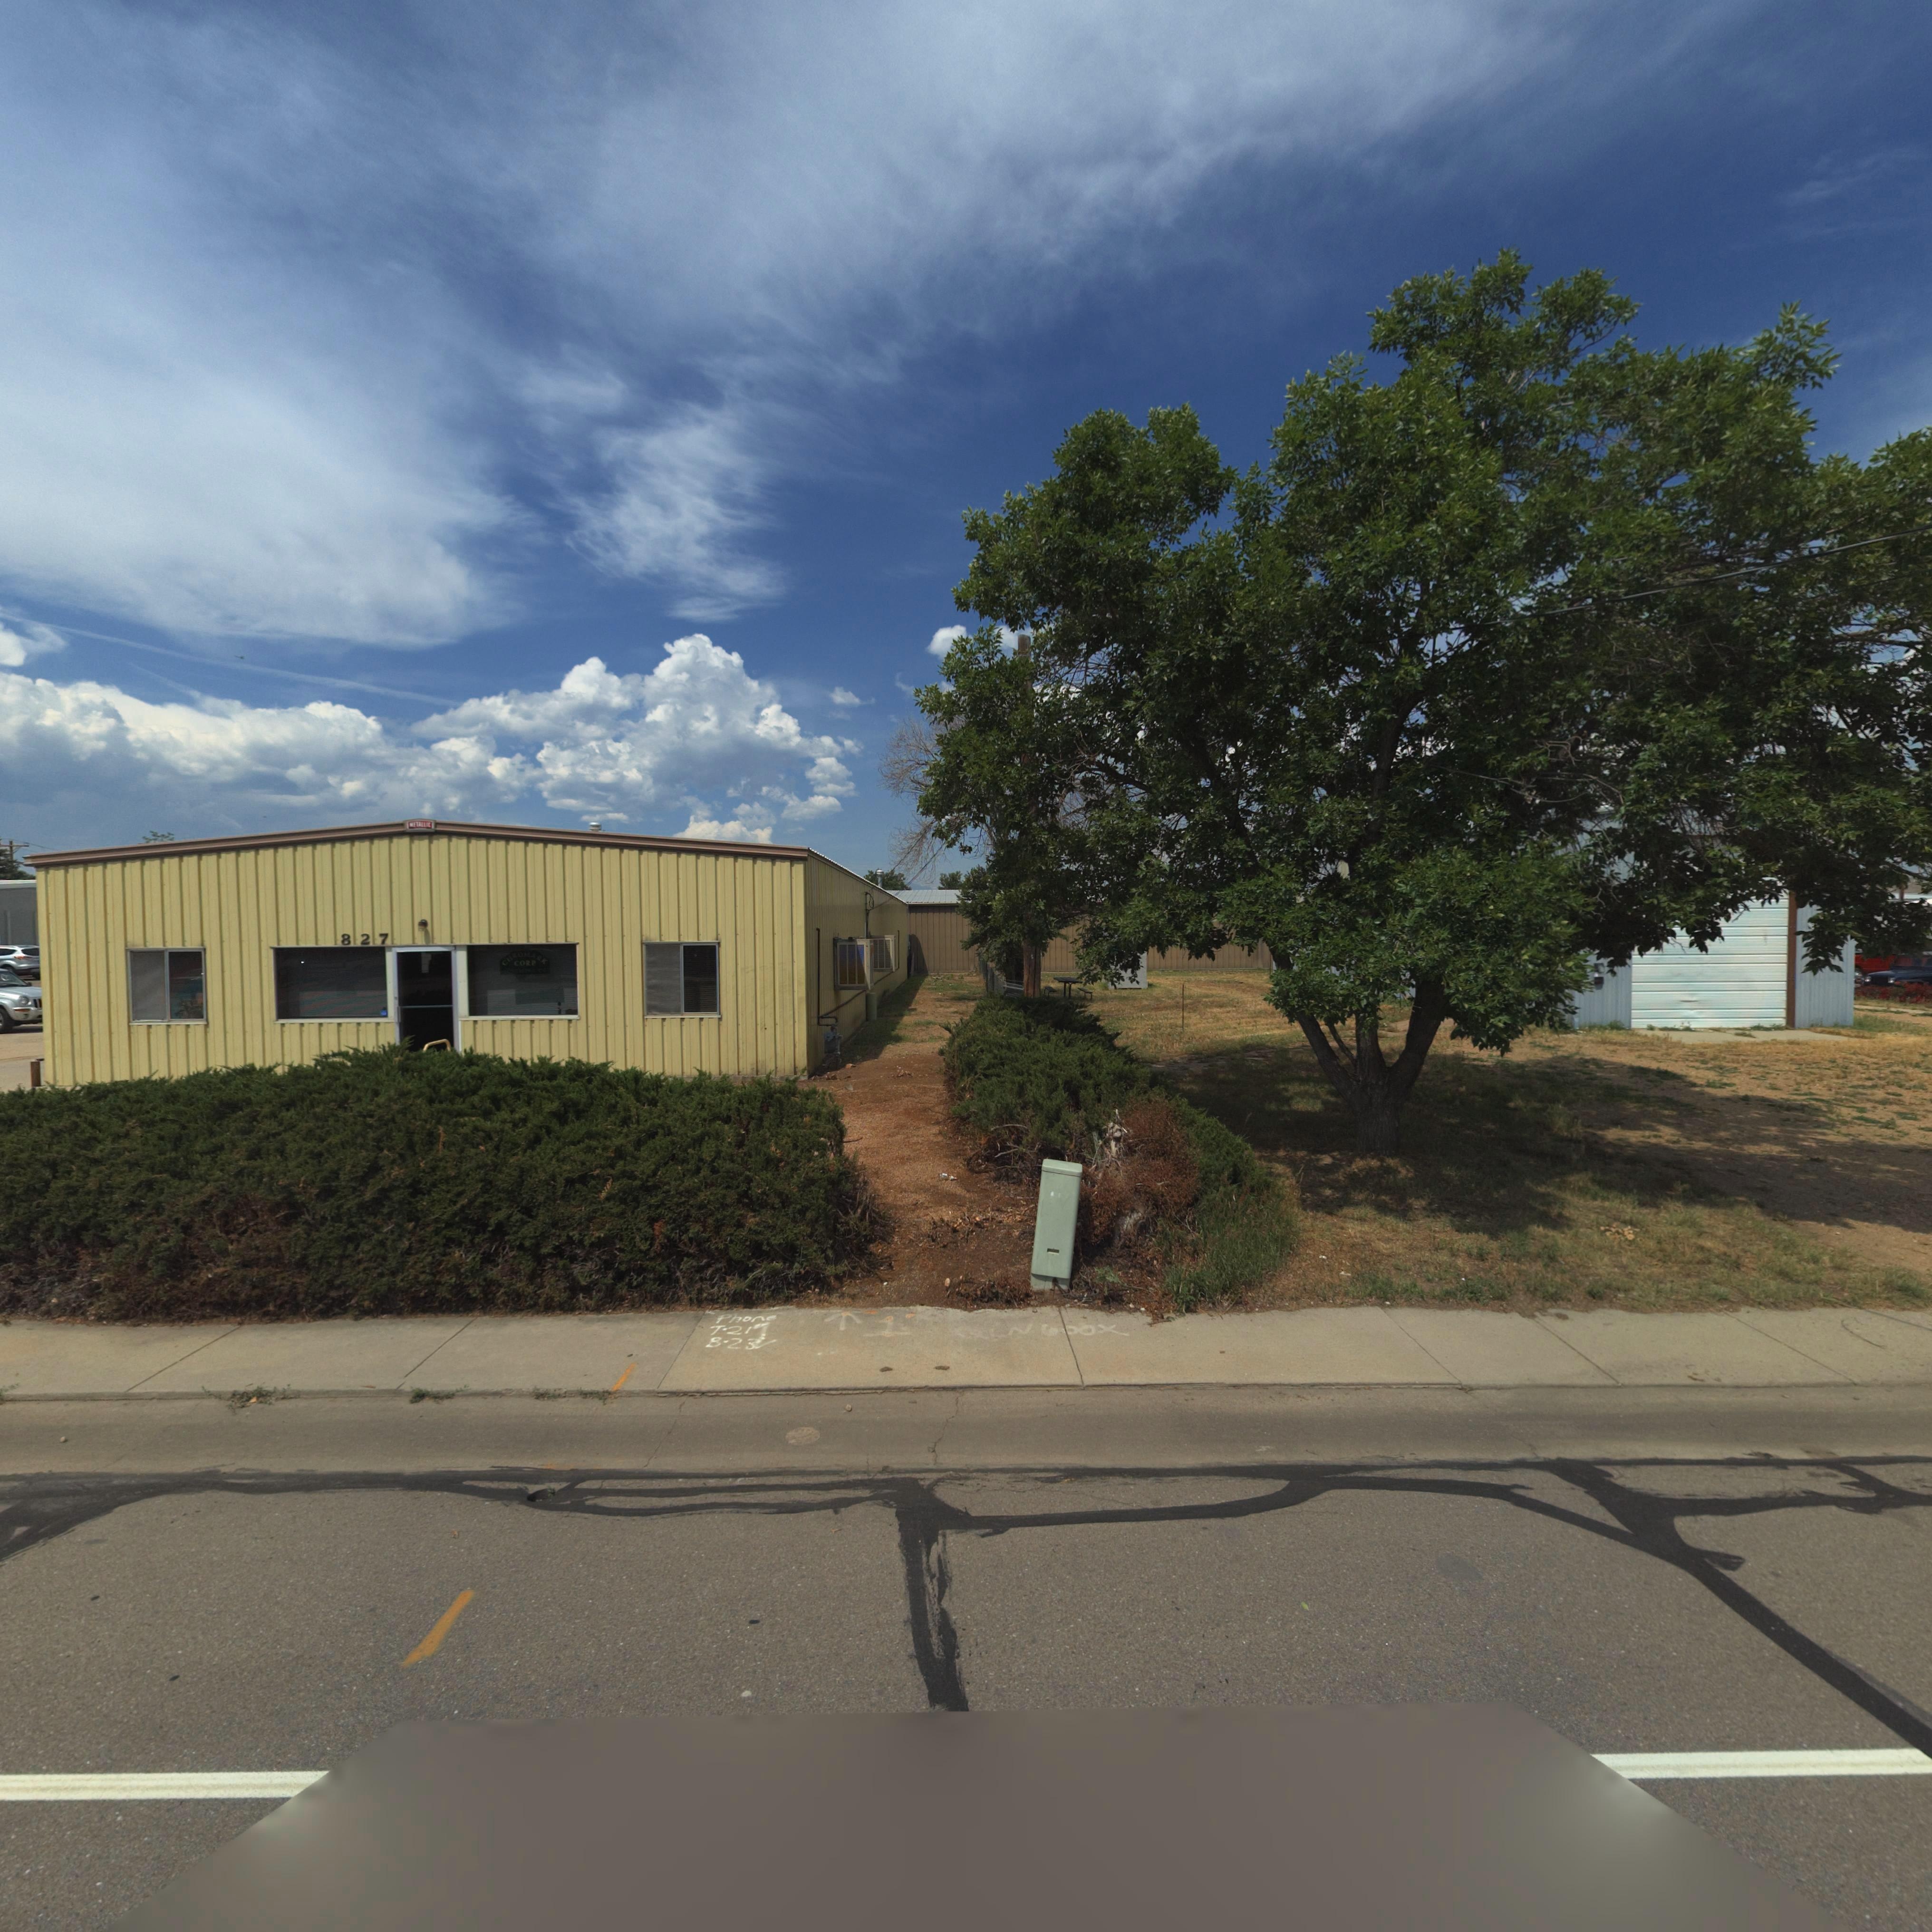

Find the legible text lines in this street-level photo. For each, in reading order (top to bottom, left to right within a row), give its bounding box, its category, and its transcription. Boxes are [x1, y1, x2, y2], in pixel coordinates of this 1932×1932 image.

[502, 951, 548, 966] BusinessName: CHROMARK
[513, 960, 536, 966] BusinessName: CORP